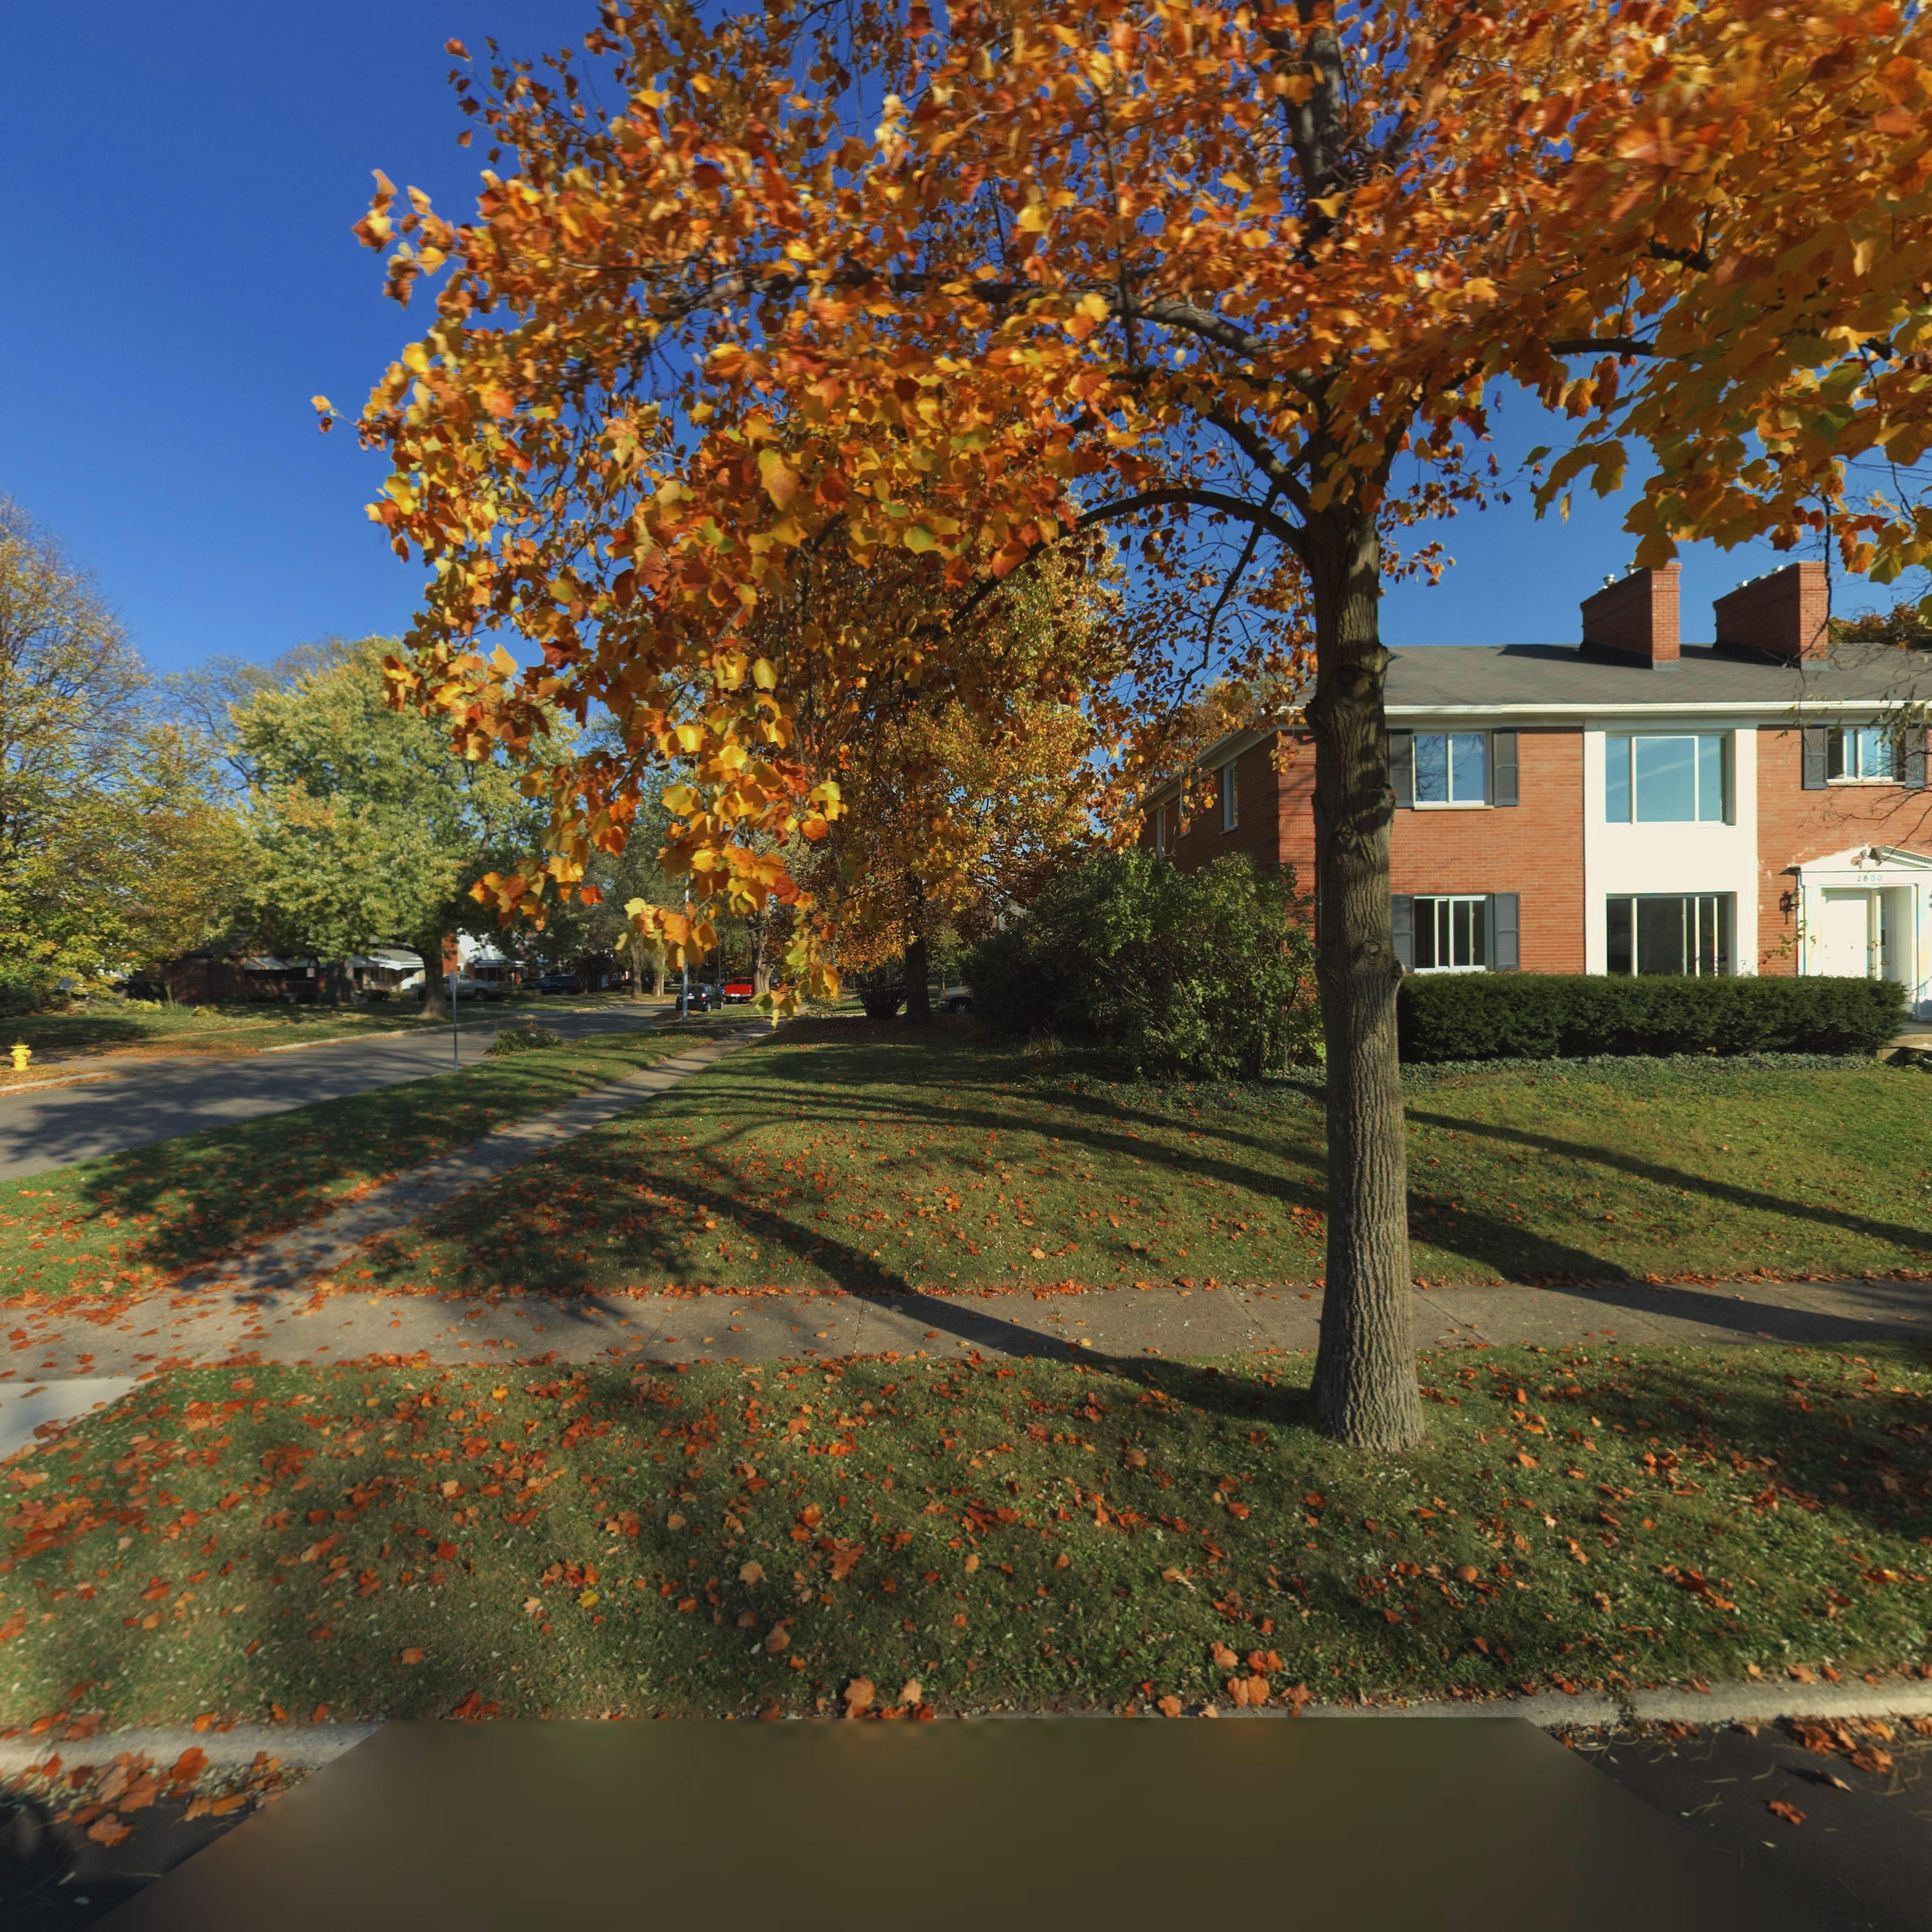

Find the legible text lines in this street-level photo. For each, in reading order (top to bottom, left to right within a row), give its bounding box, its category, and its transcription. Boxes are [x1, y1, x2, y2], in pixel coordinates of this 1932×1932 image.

[1856, 873, 1884, 883] StreetNumber: 2800